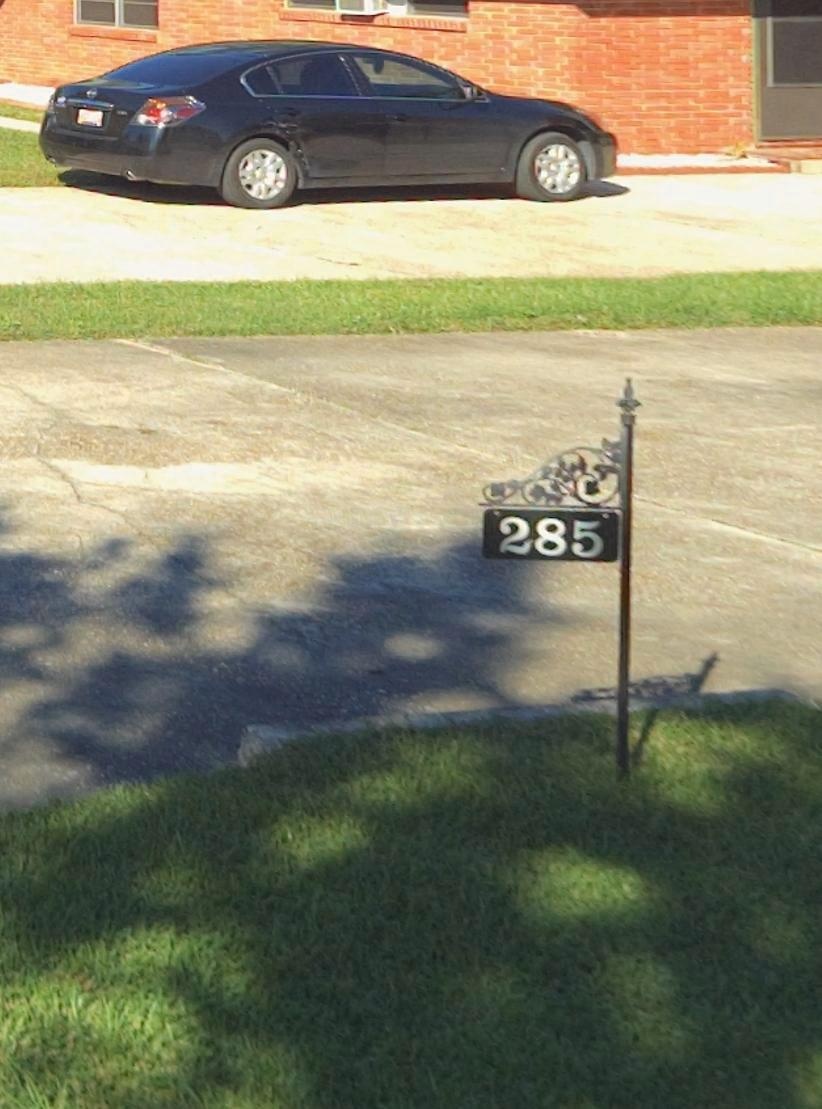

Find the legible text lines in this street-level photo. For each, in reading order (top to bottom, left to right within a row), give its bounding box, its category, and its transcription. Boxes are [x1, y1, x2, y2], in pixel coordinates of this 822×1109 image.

[496, 513, 608, 560] StreetNumber: 285